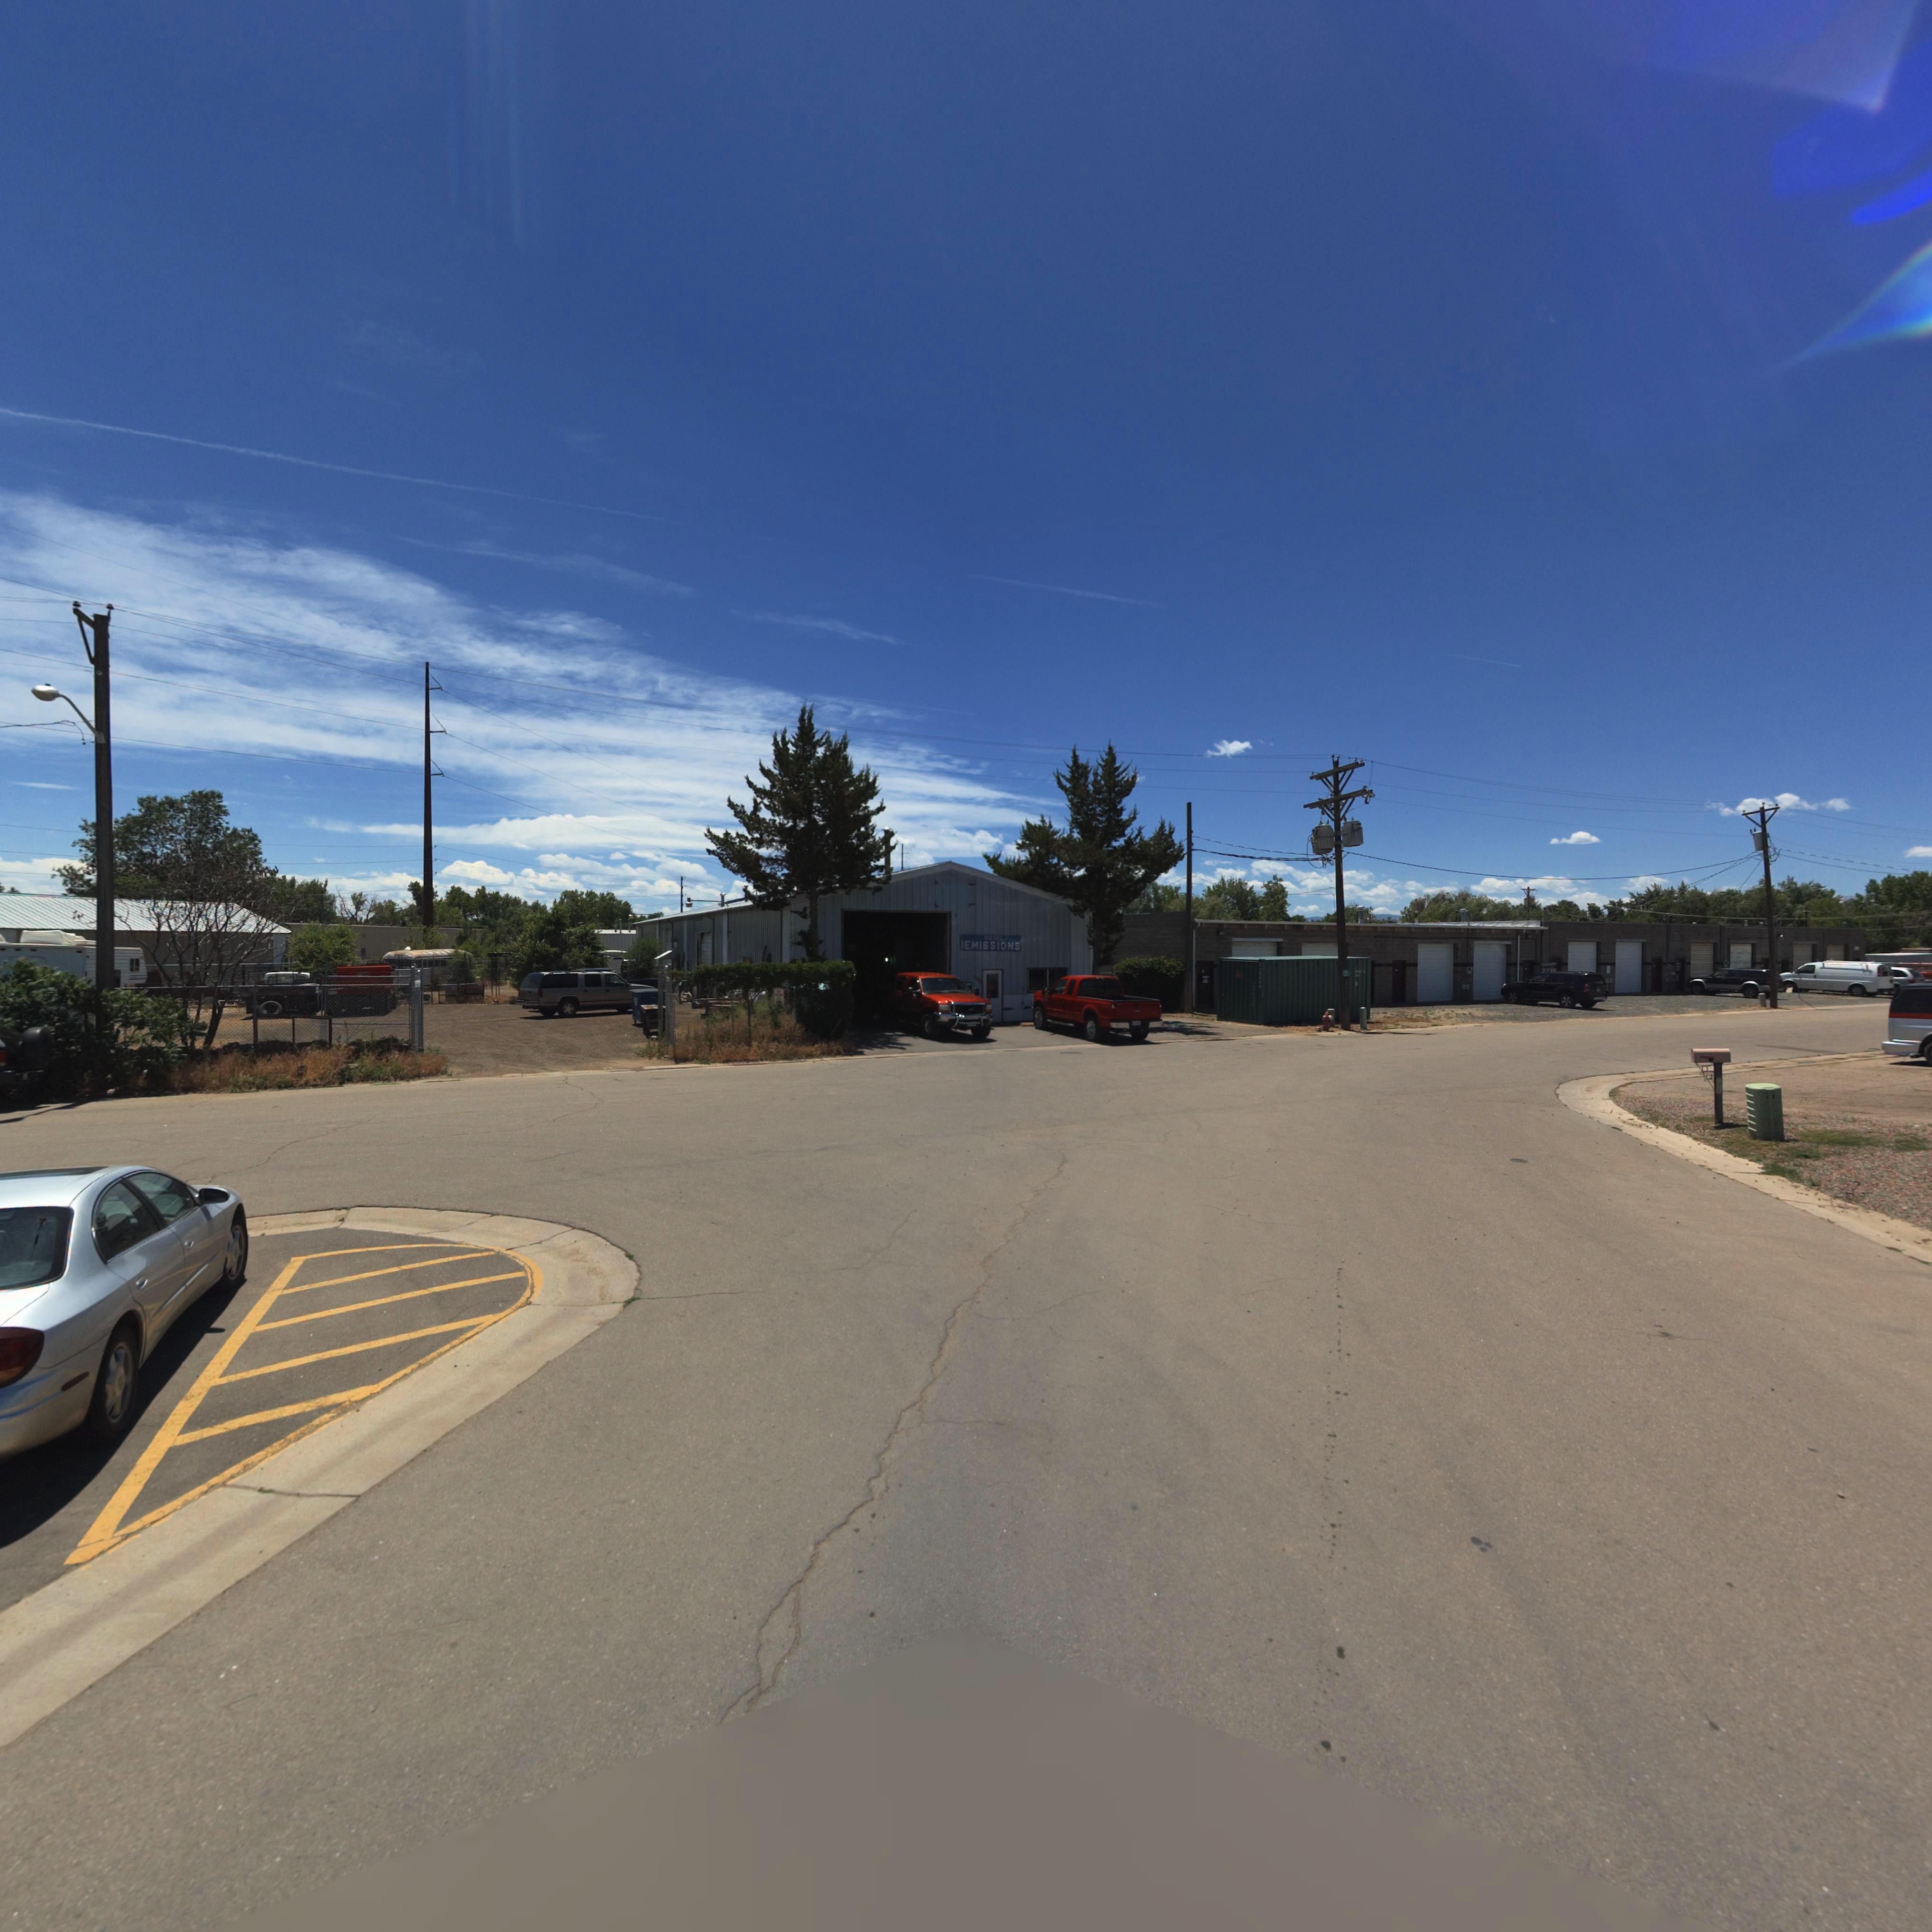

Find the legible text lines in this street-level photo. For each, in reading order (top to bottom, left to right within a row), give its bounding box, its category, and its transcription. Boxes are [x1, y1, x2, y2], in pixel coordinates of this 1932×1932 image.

[984, 935, 1003, 941] BusinessName: DIESEL
[964, 940, 1021, 951] BusinessName: EMISSIONS